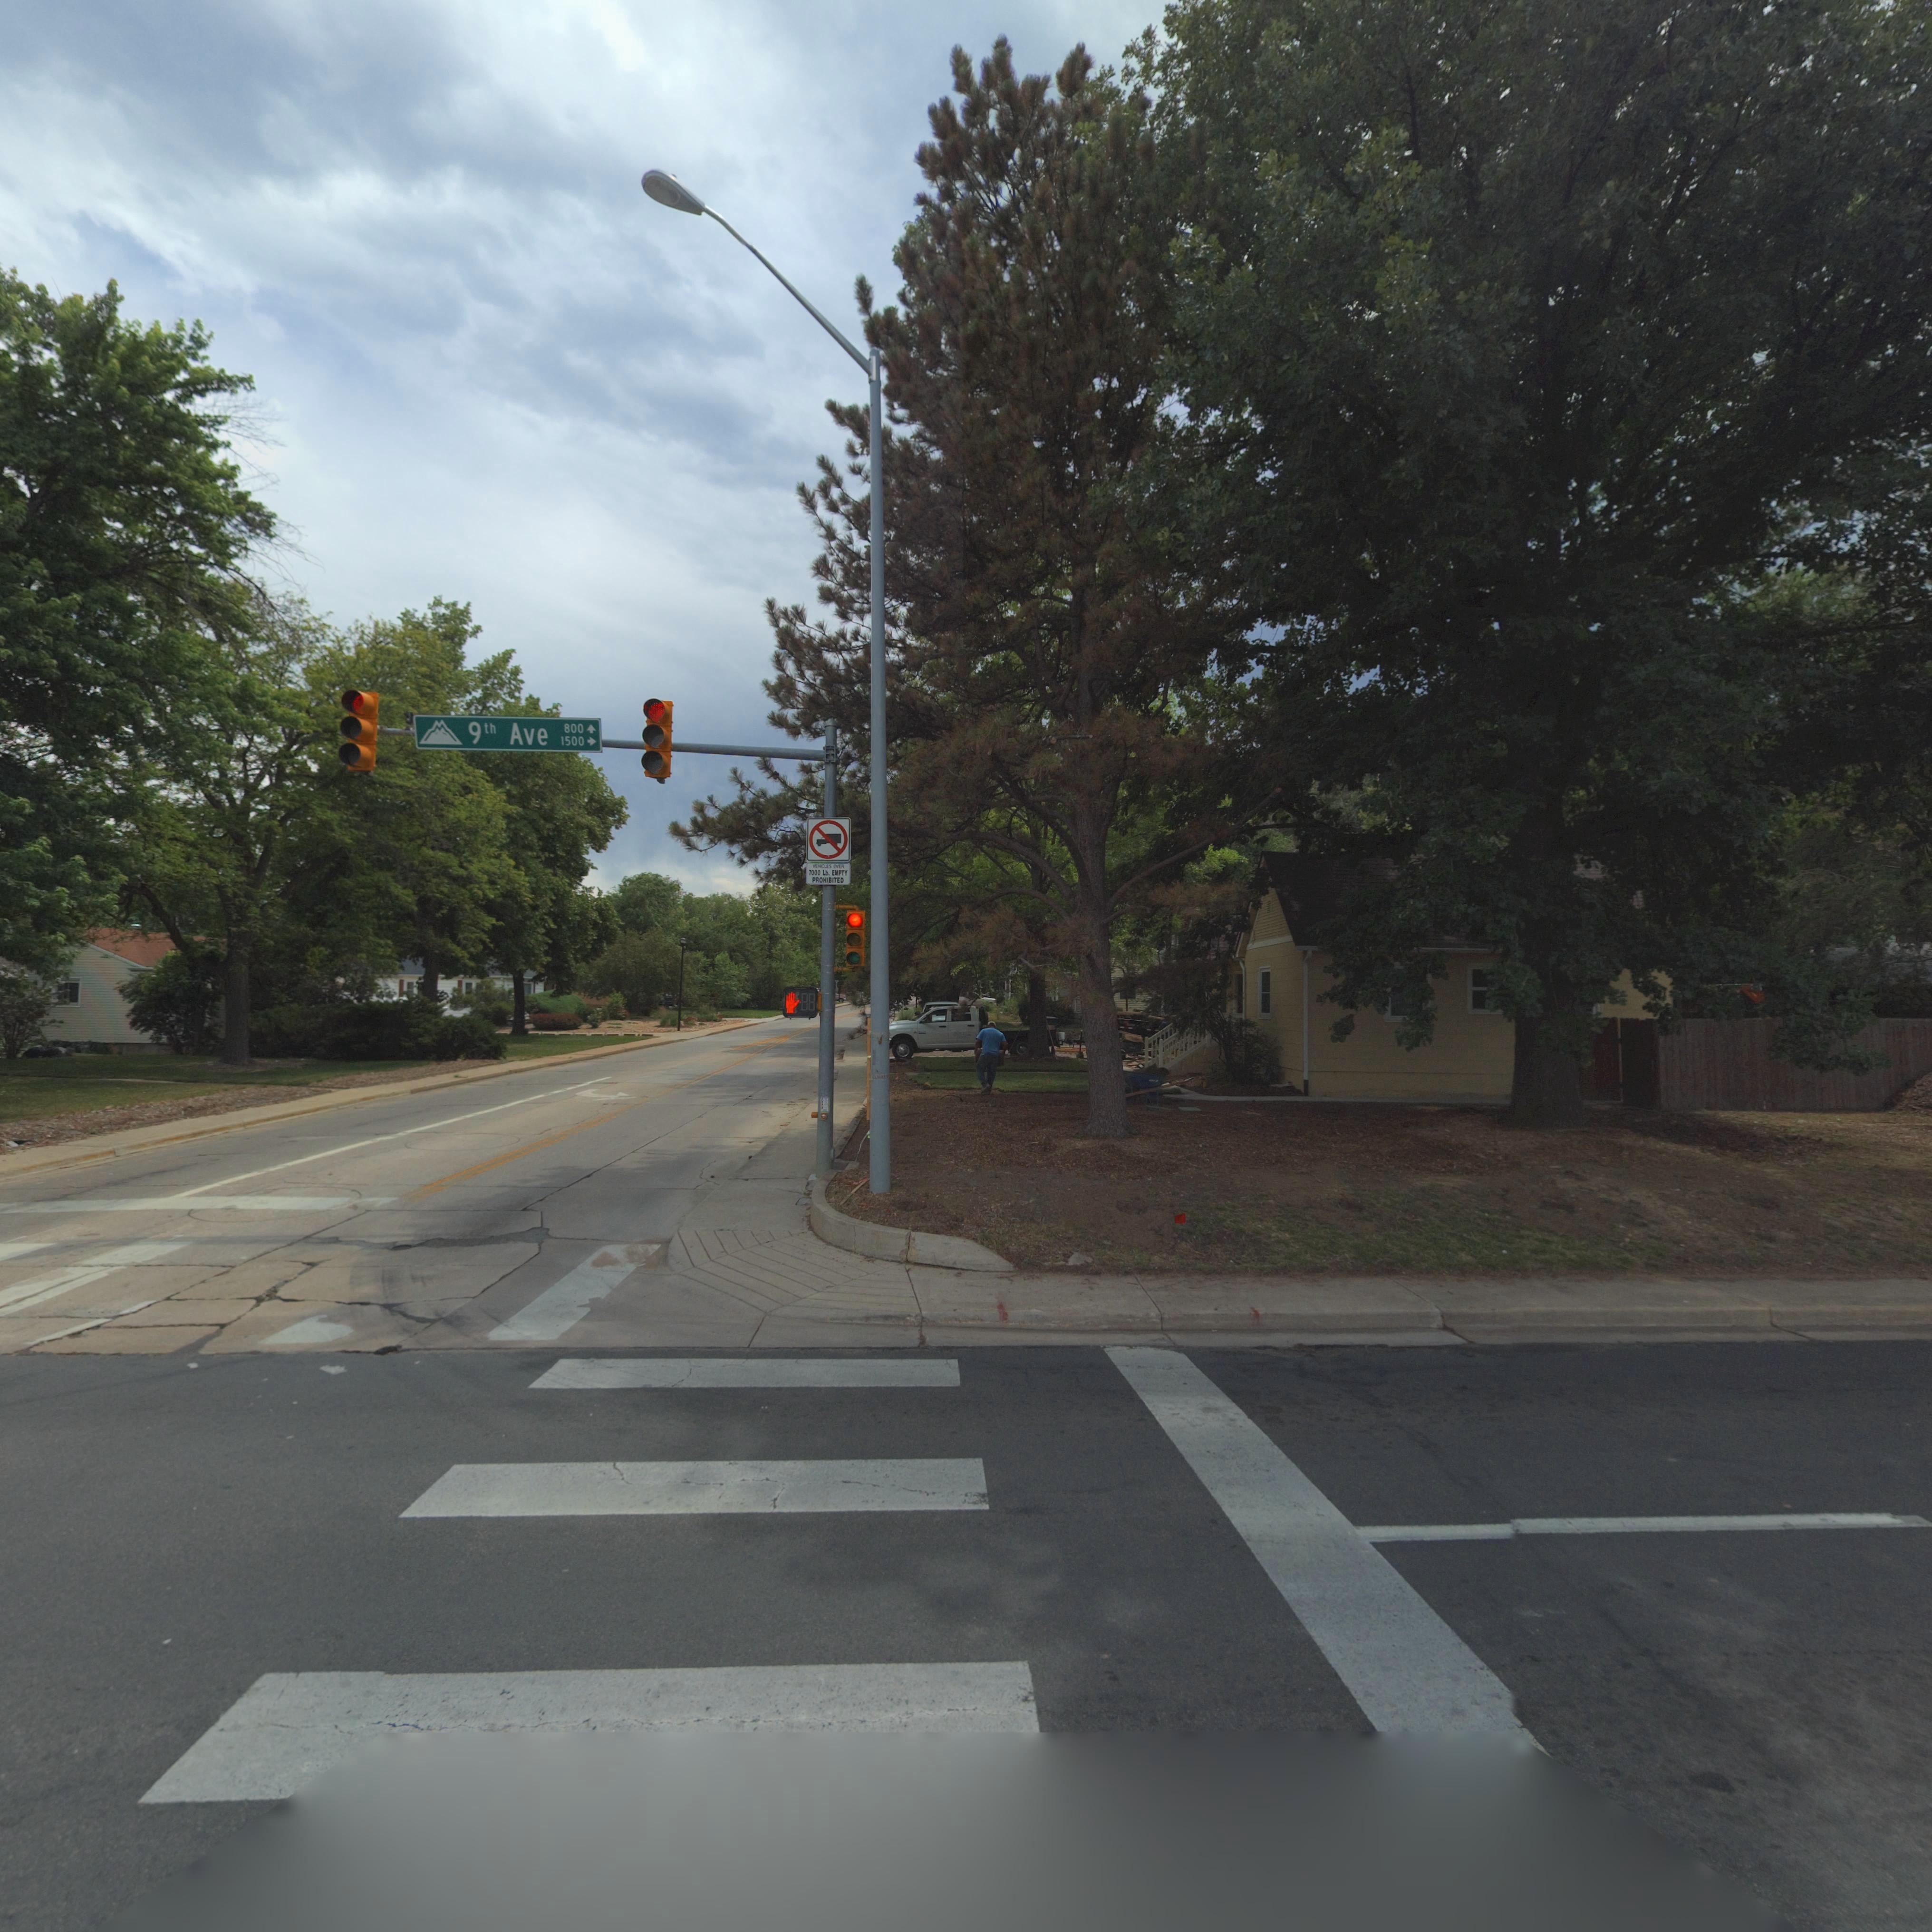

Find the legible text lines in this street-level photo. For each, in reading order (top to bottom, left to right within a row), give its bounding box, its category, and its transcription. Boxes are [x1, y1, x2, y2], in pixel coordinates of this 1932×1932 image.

[467, 720, 549, 746] StreetName: 9th Ave
[563, 723, 584, 734] StreetNumberRange: 800
[560, 735, 597, 746] StreetNumberRange: 1500->